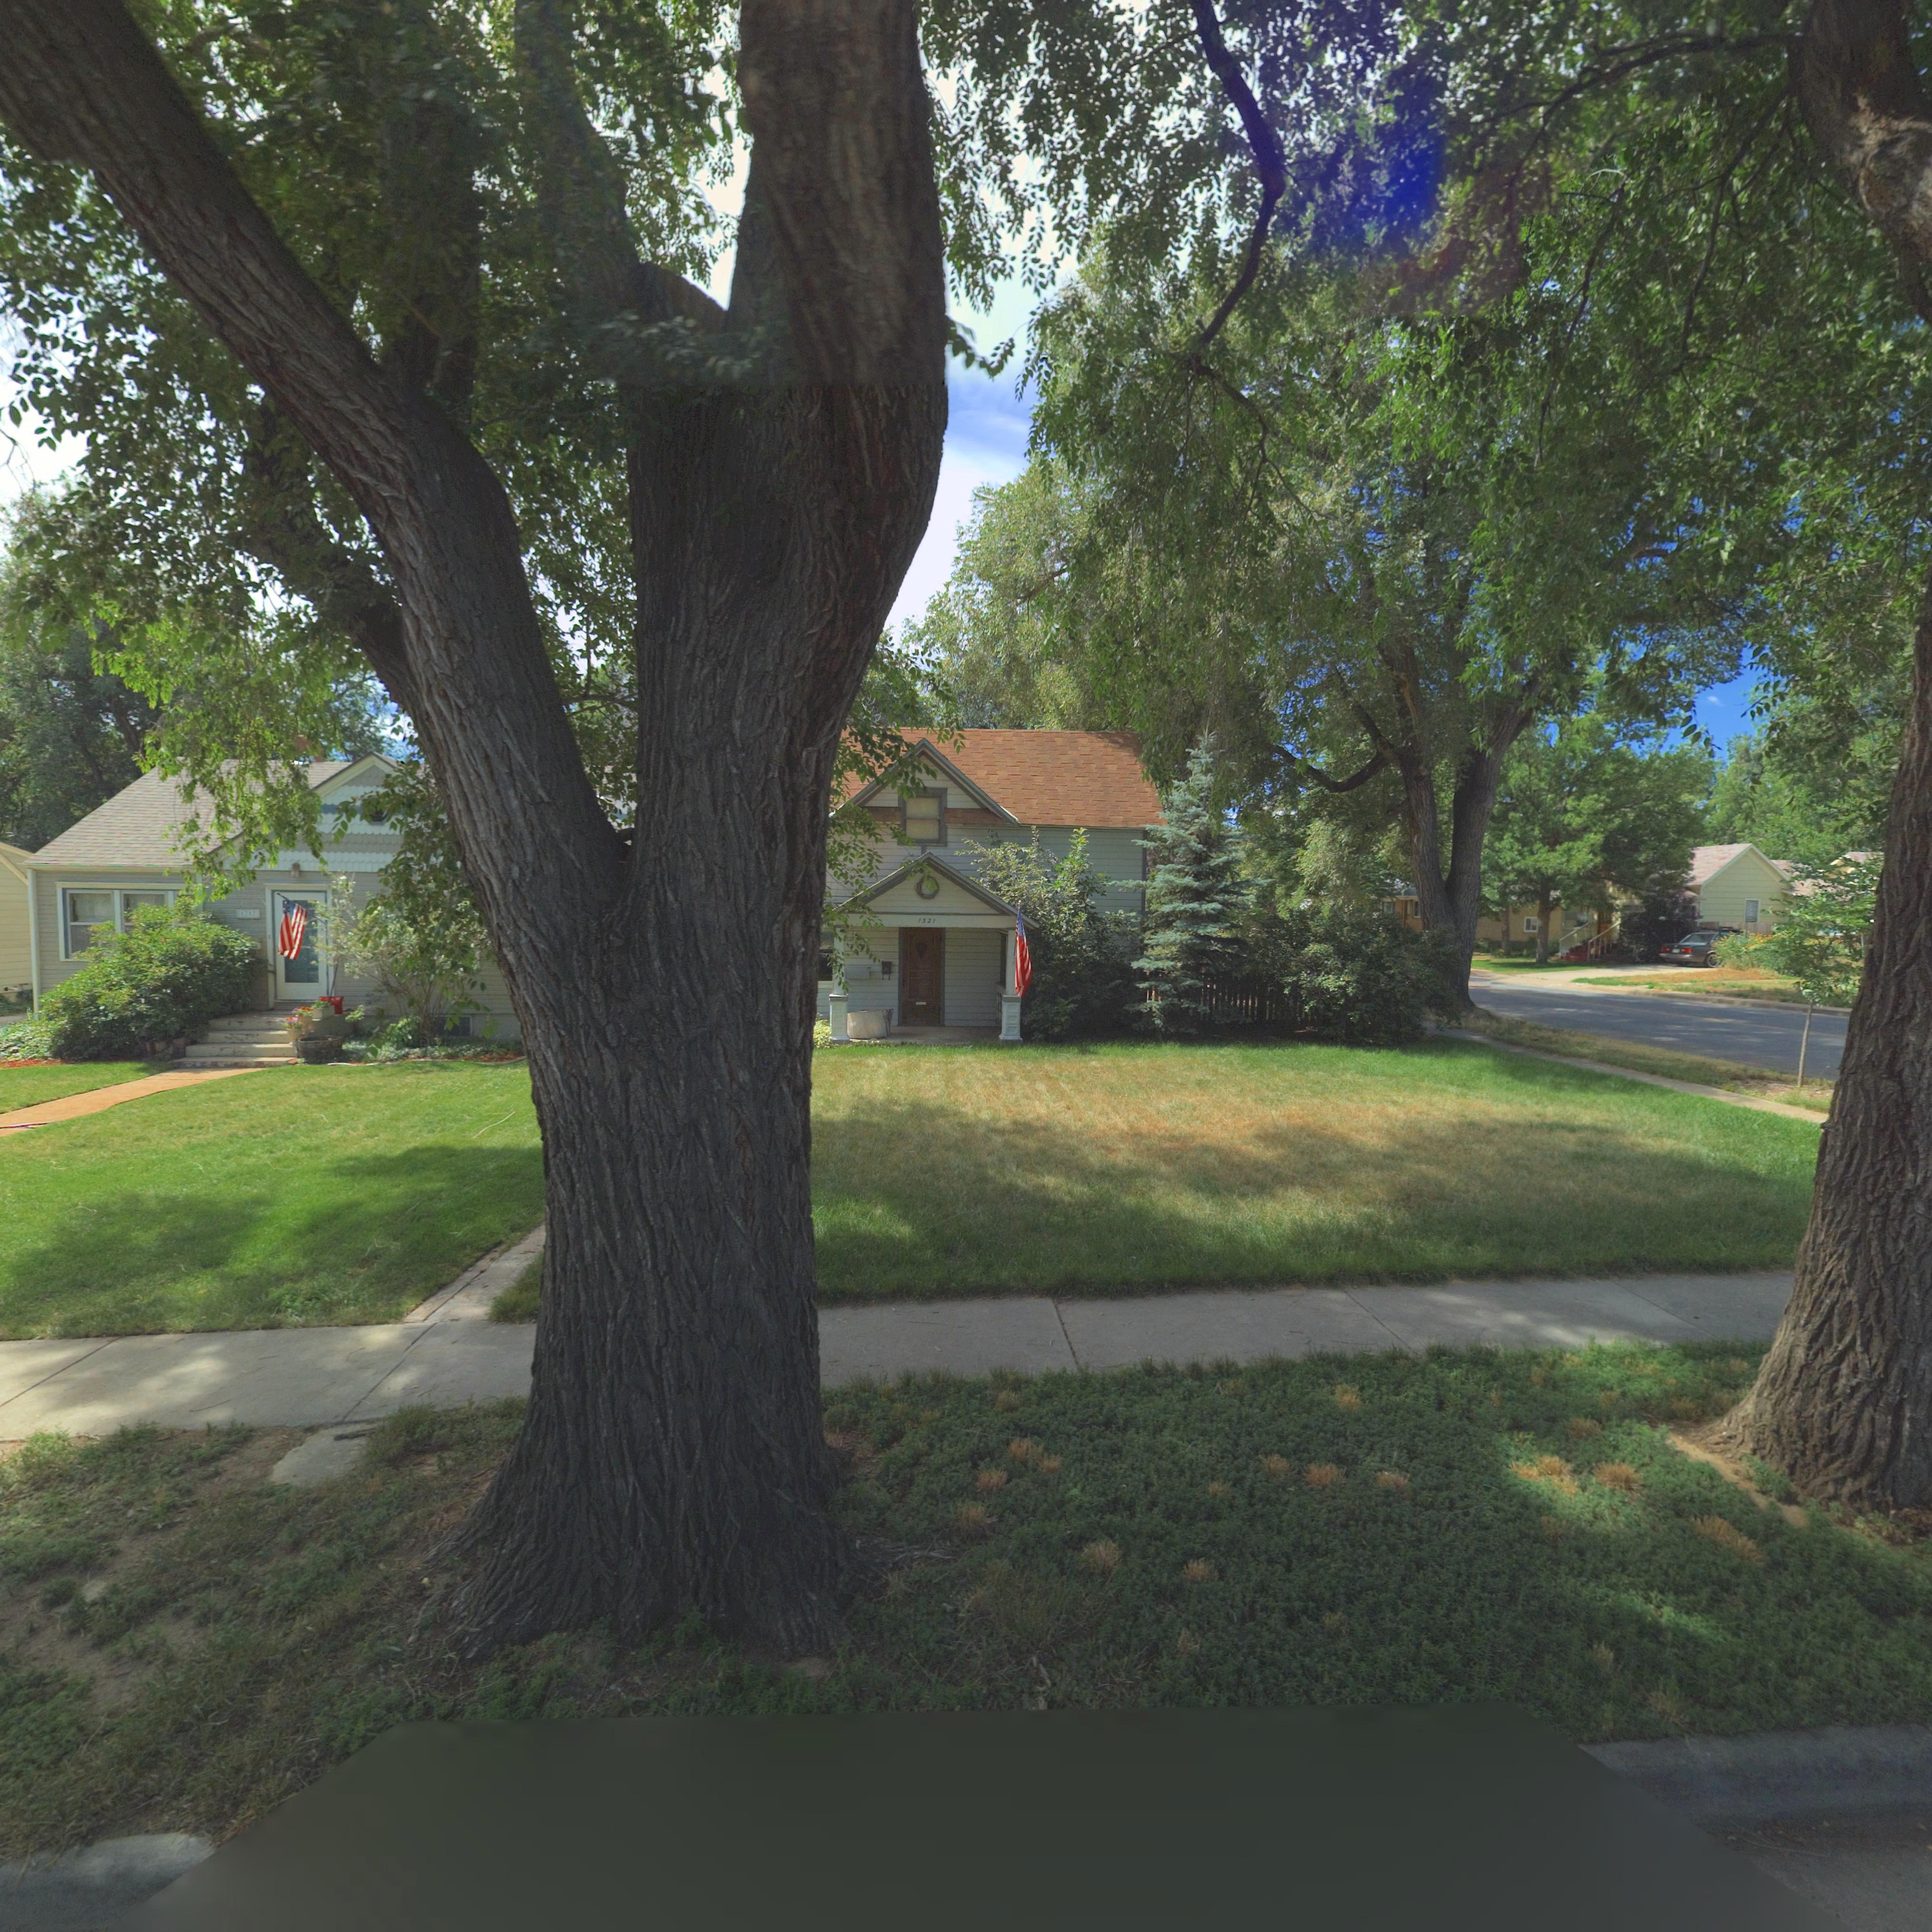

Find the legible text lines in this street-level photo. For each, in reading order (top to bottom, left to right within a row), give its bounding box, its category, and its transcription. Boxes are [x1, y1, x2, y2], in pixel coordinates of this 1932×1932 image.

[241, 910, 257, 916] StreetNumber: 1317
[918, 918, 936, 923] StreetNumber: 1321